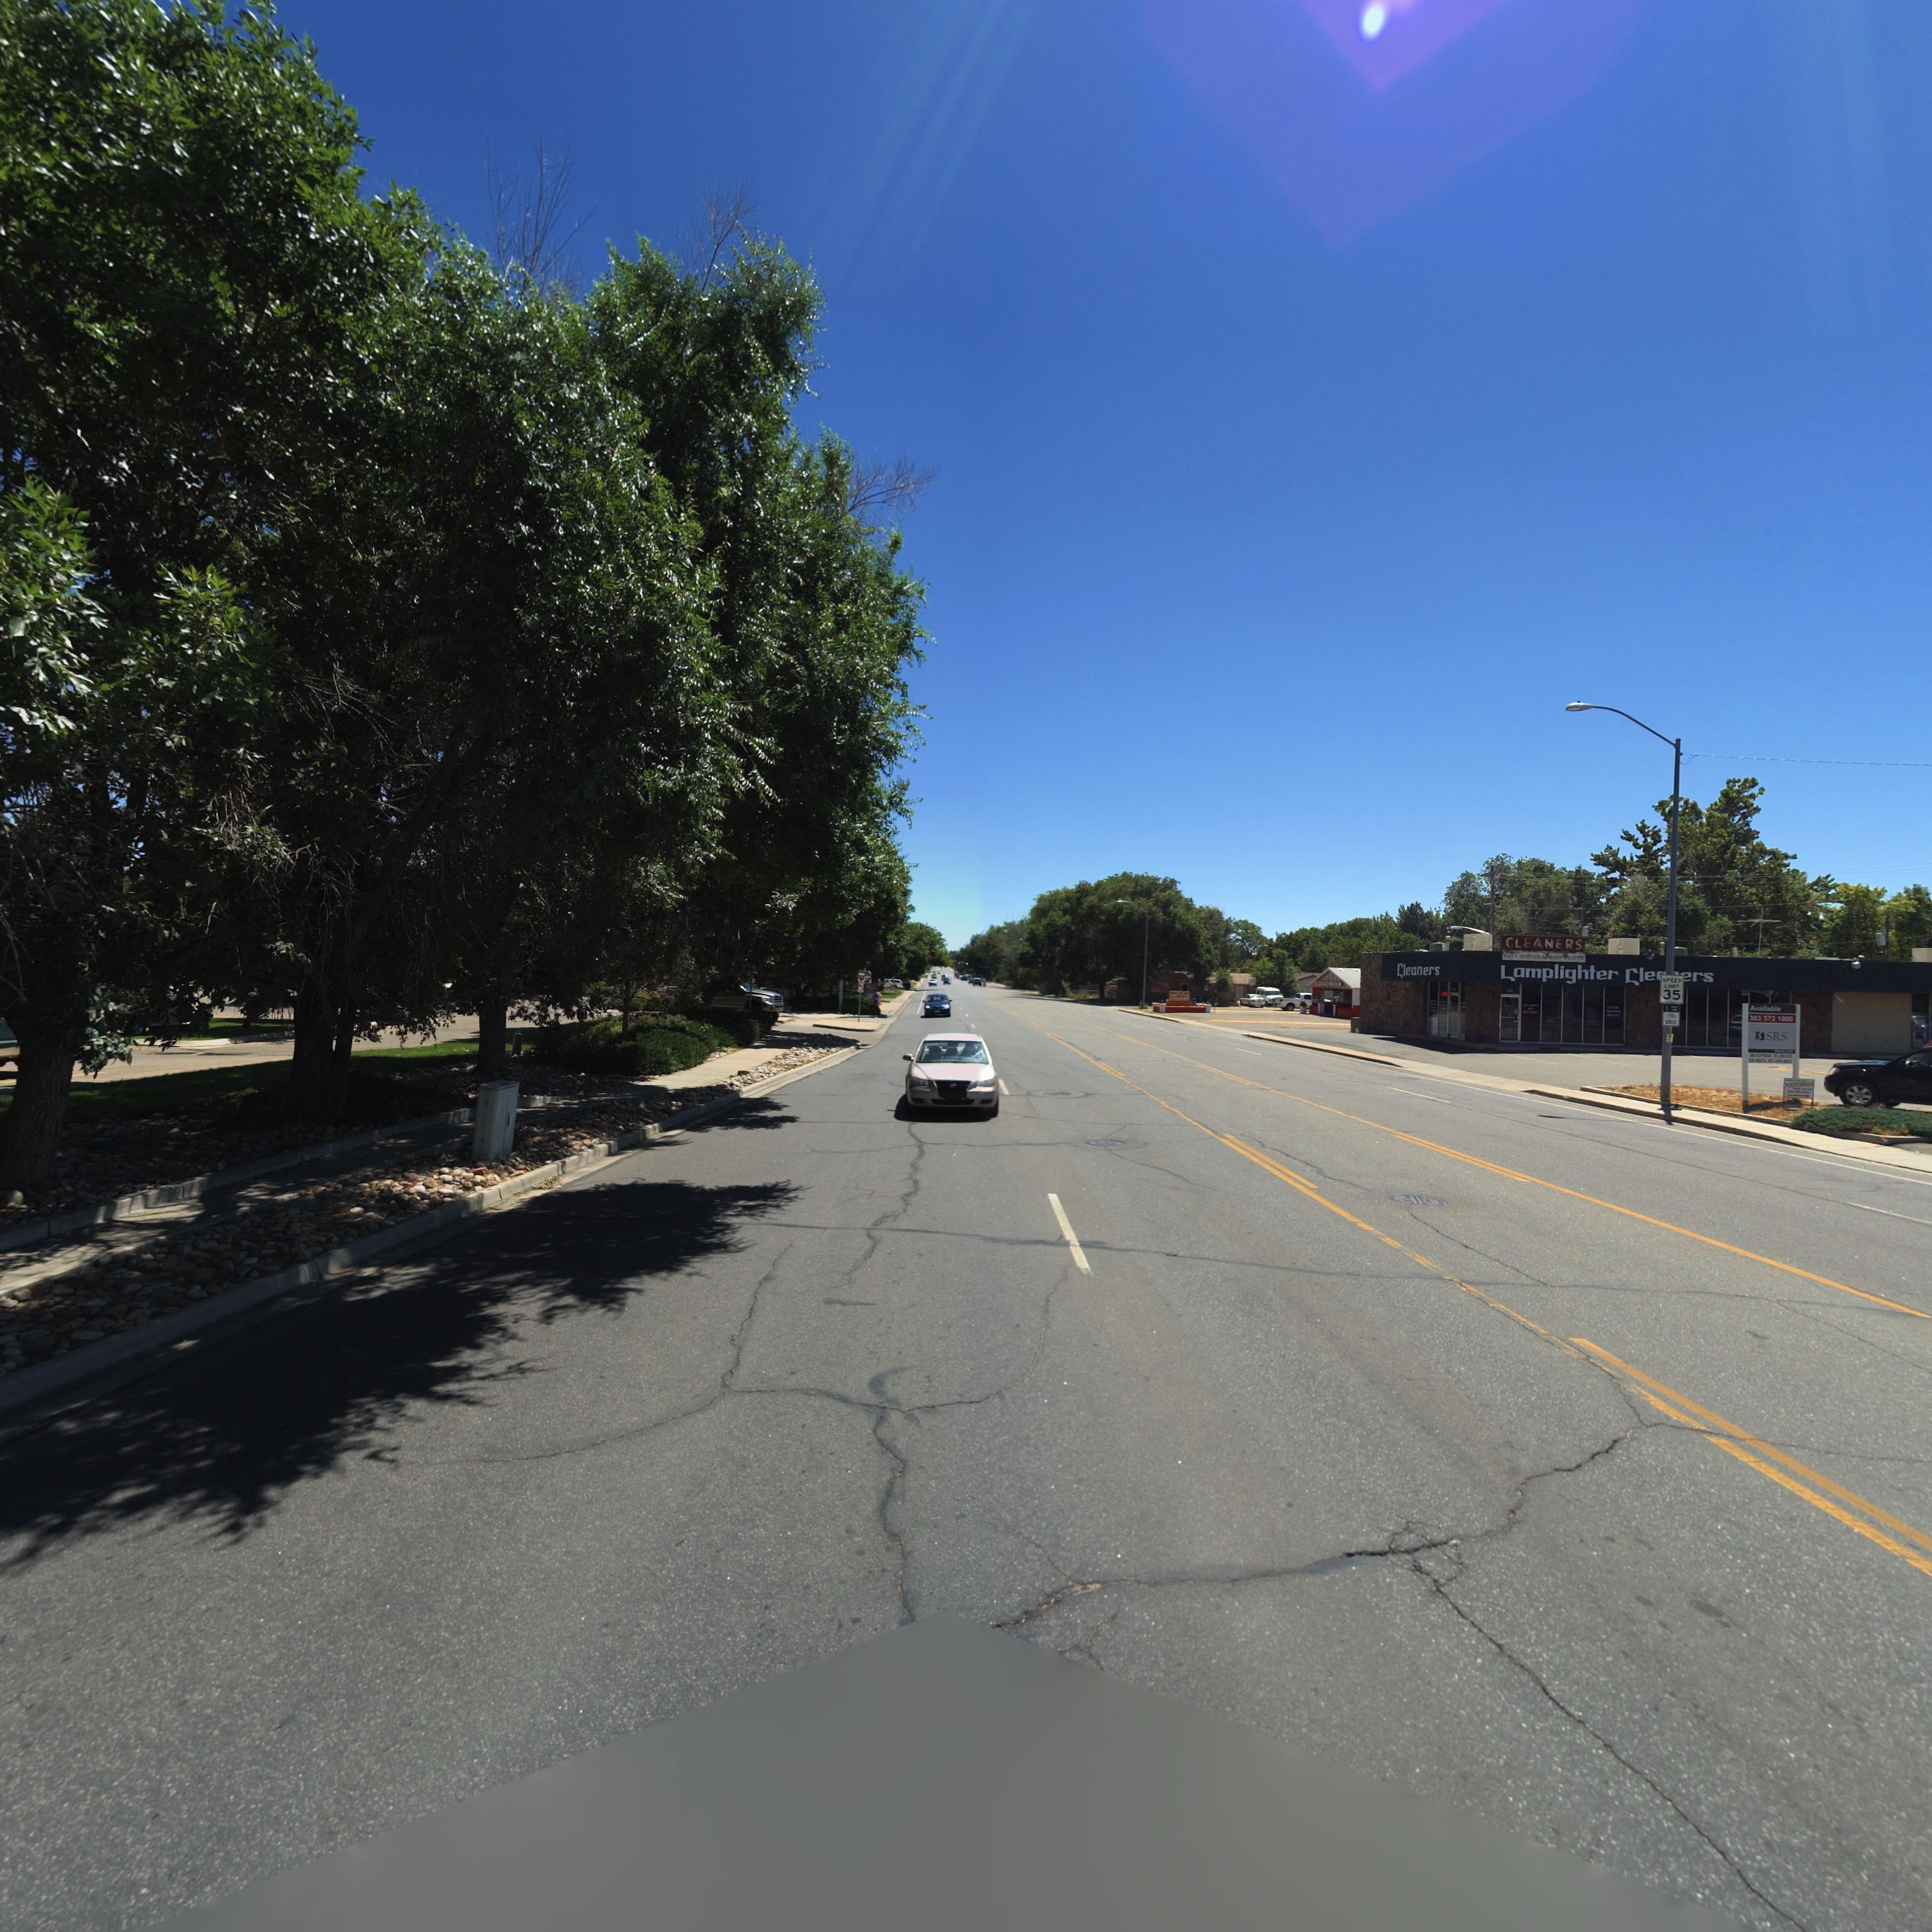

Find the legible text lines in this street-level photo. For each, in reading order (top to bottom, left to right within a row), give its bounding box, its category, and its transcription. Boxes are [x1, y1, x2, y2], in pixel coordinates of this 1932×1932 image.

[1498, 963, 1716, 986] BusinessName: Lamplighter Cle**ers